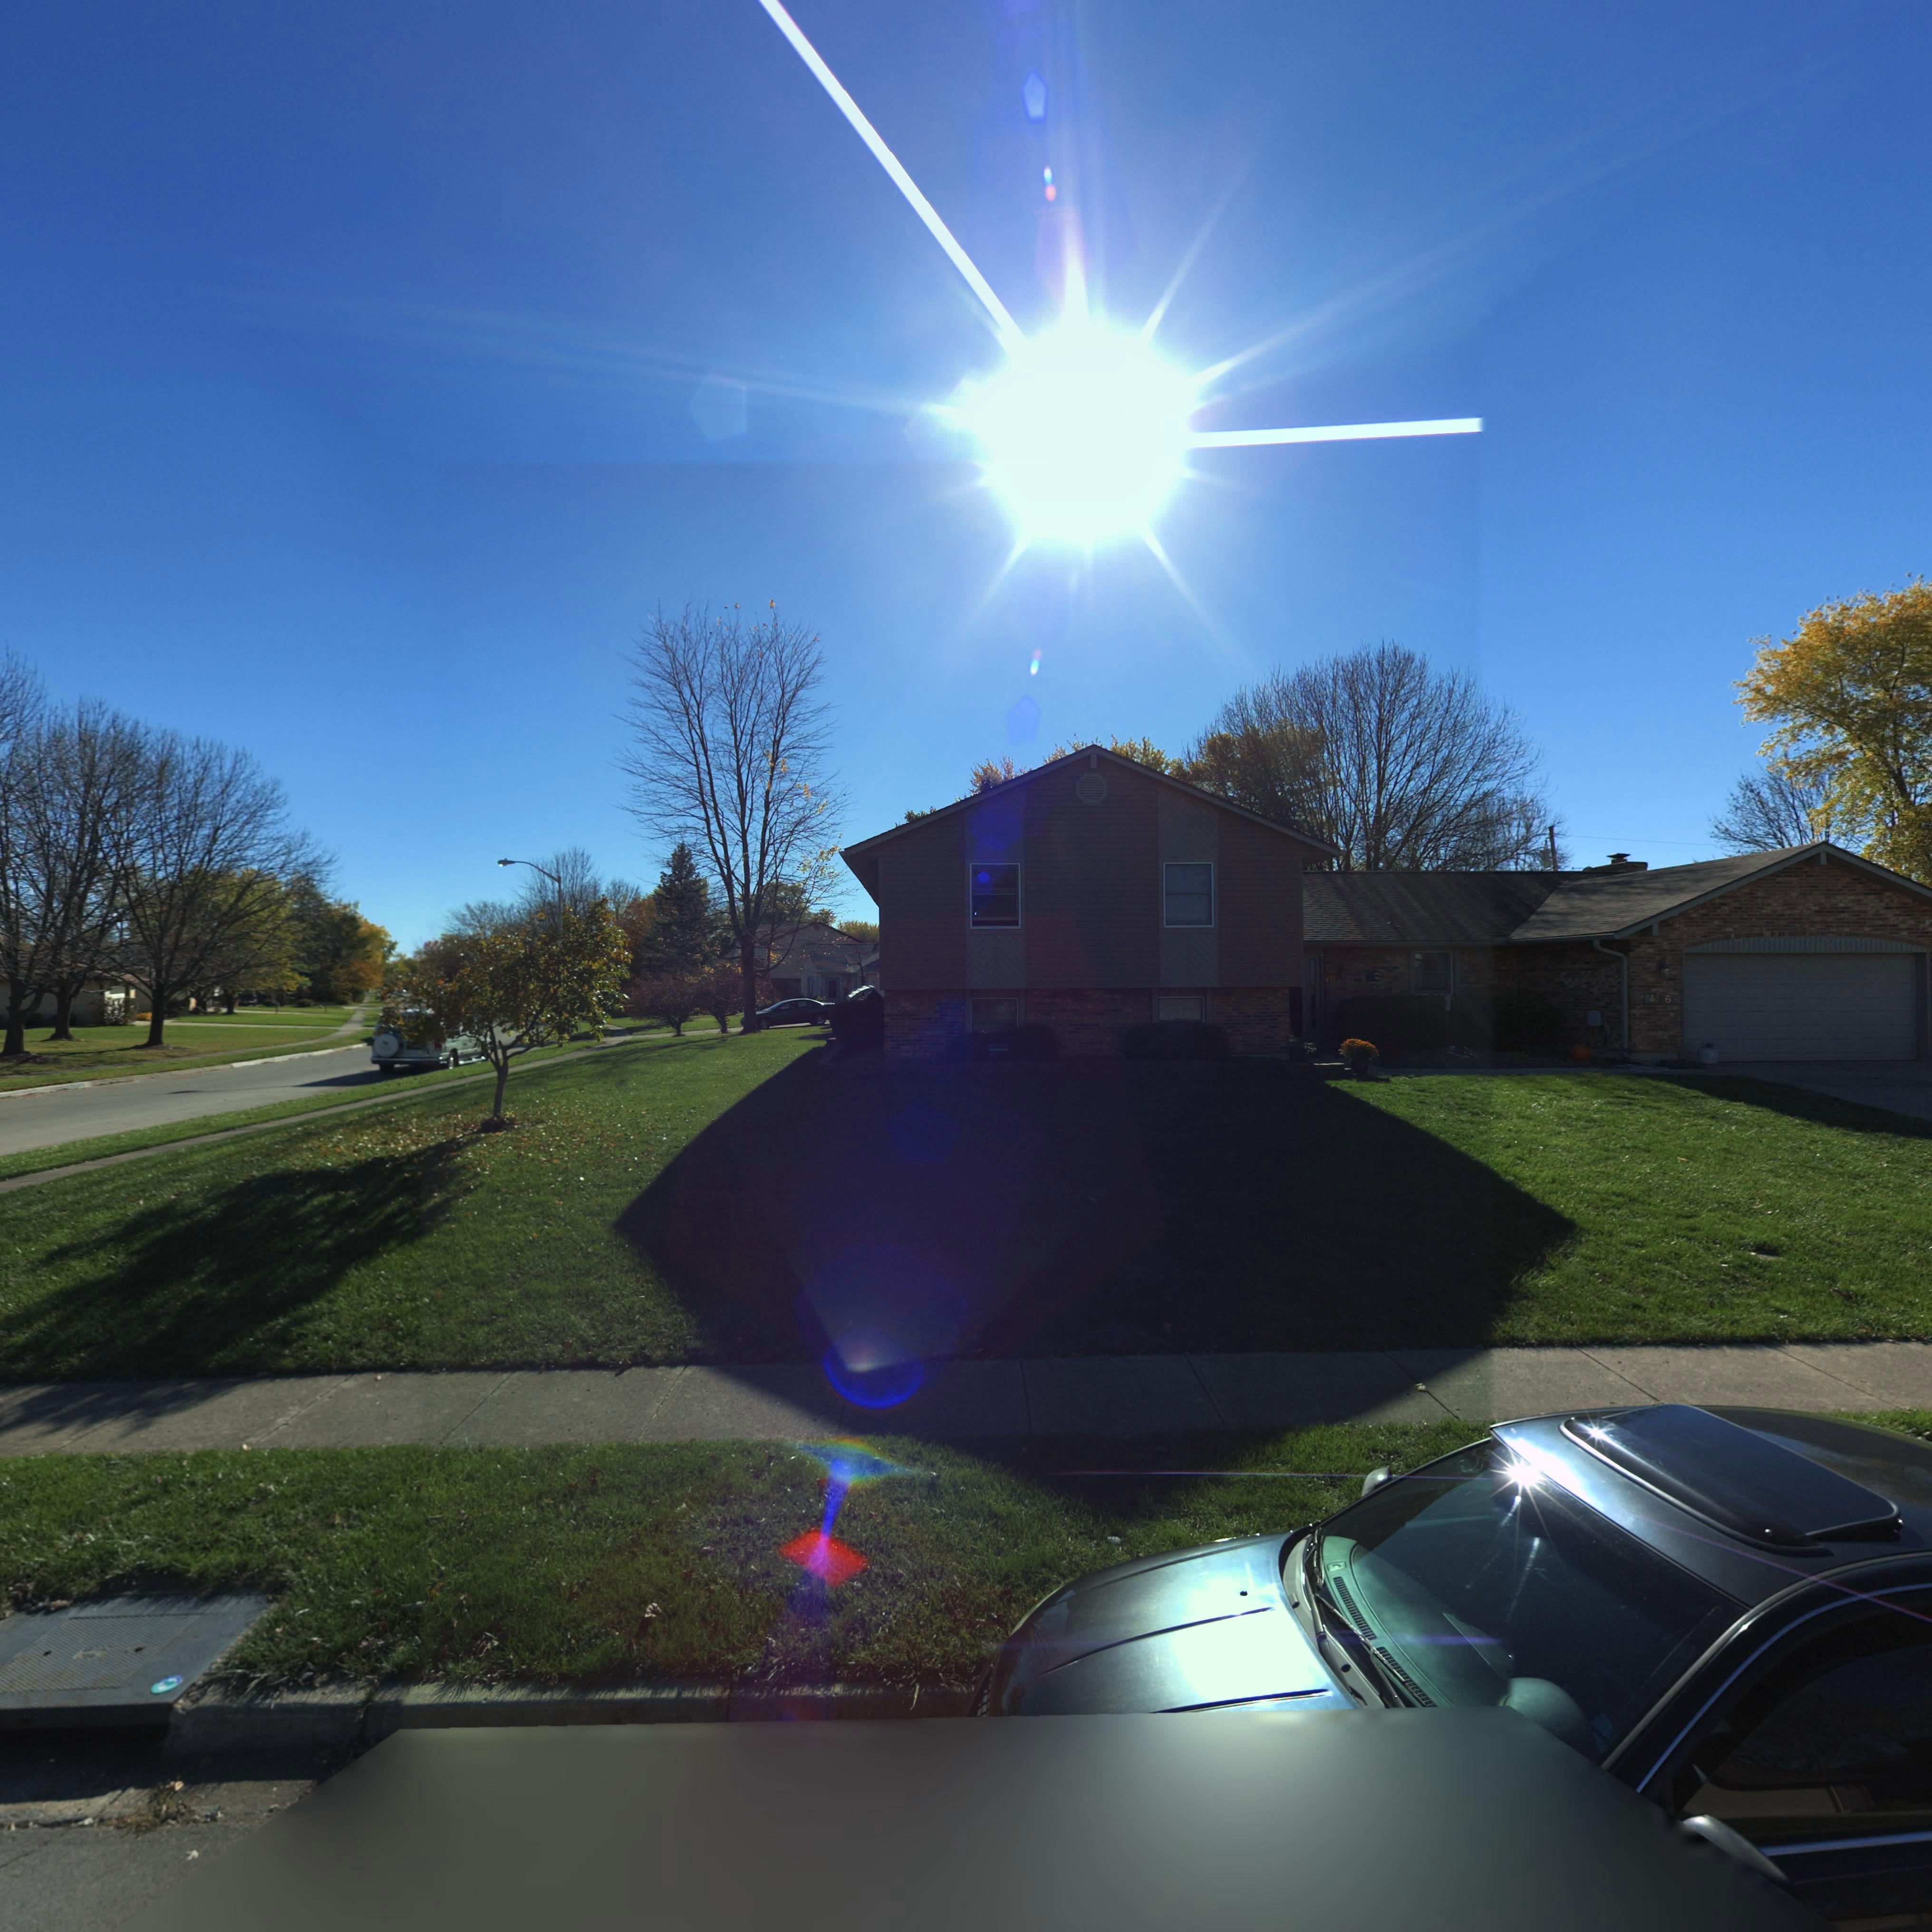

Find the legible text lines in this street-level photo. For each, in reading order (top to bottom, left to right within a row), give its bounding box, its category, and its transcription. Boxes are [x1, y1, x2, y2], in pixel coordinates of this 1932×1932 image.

[1648, 994, 1673, 1005] StreetNumber: 4**6